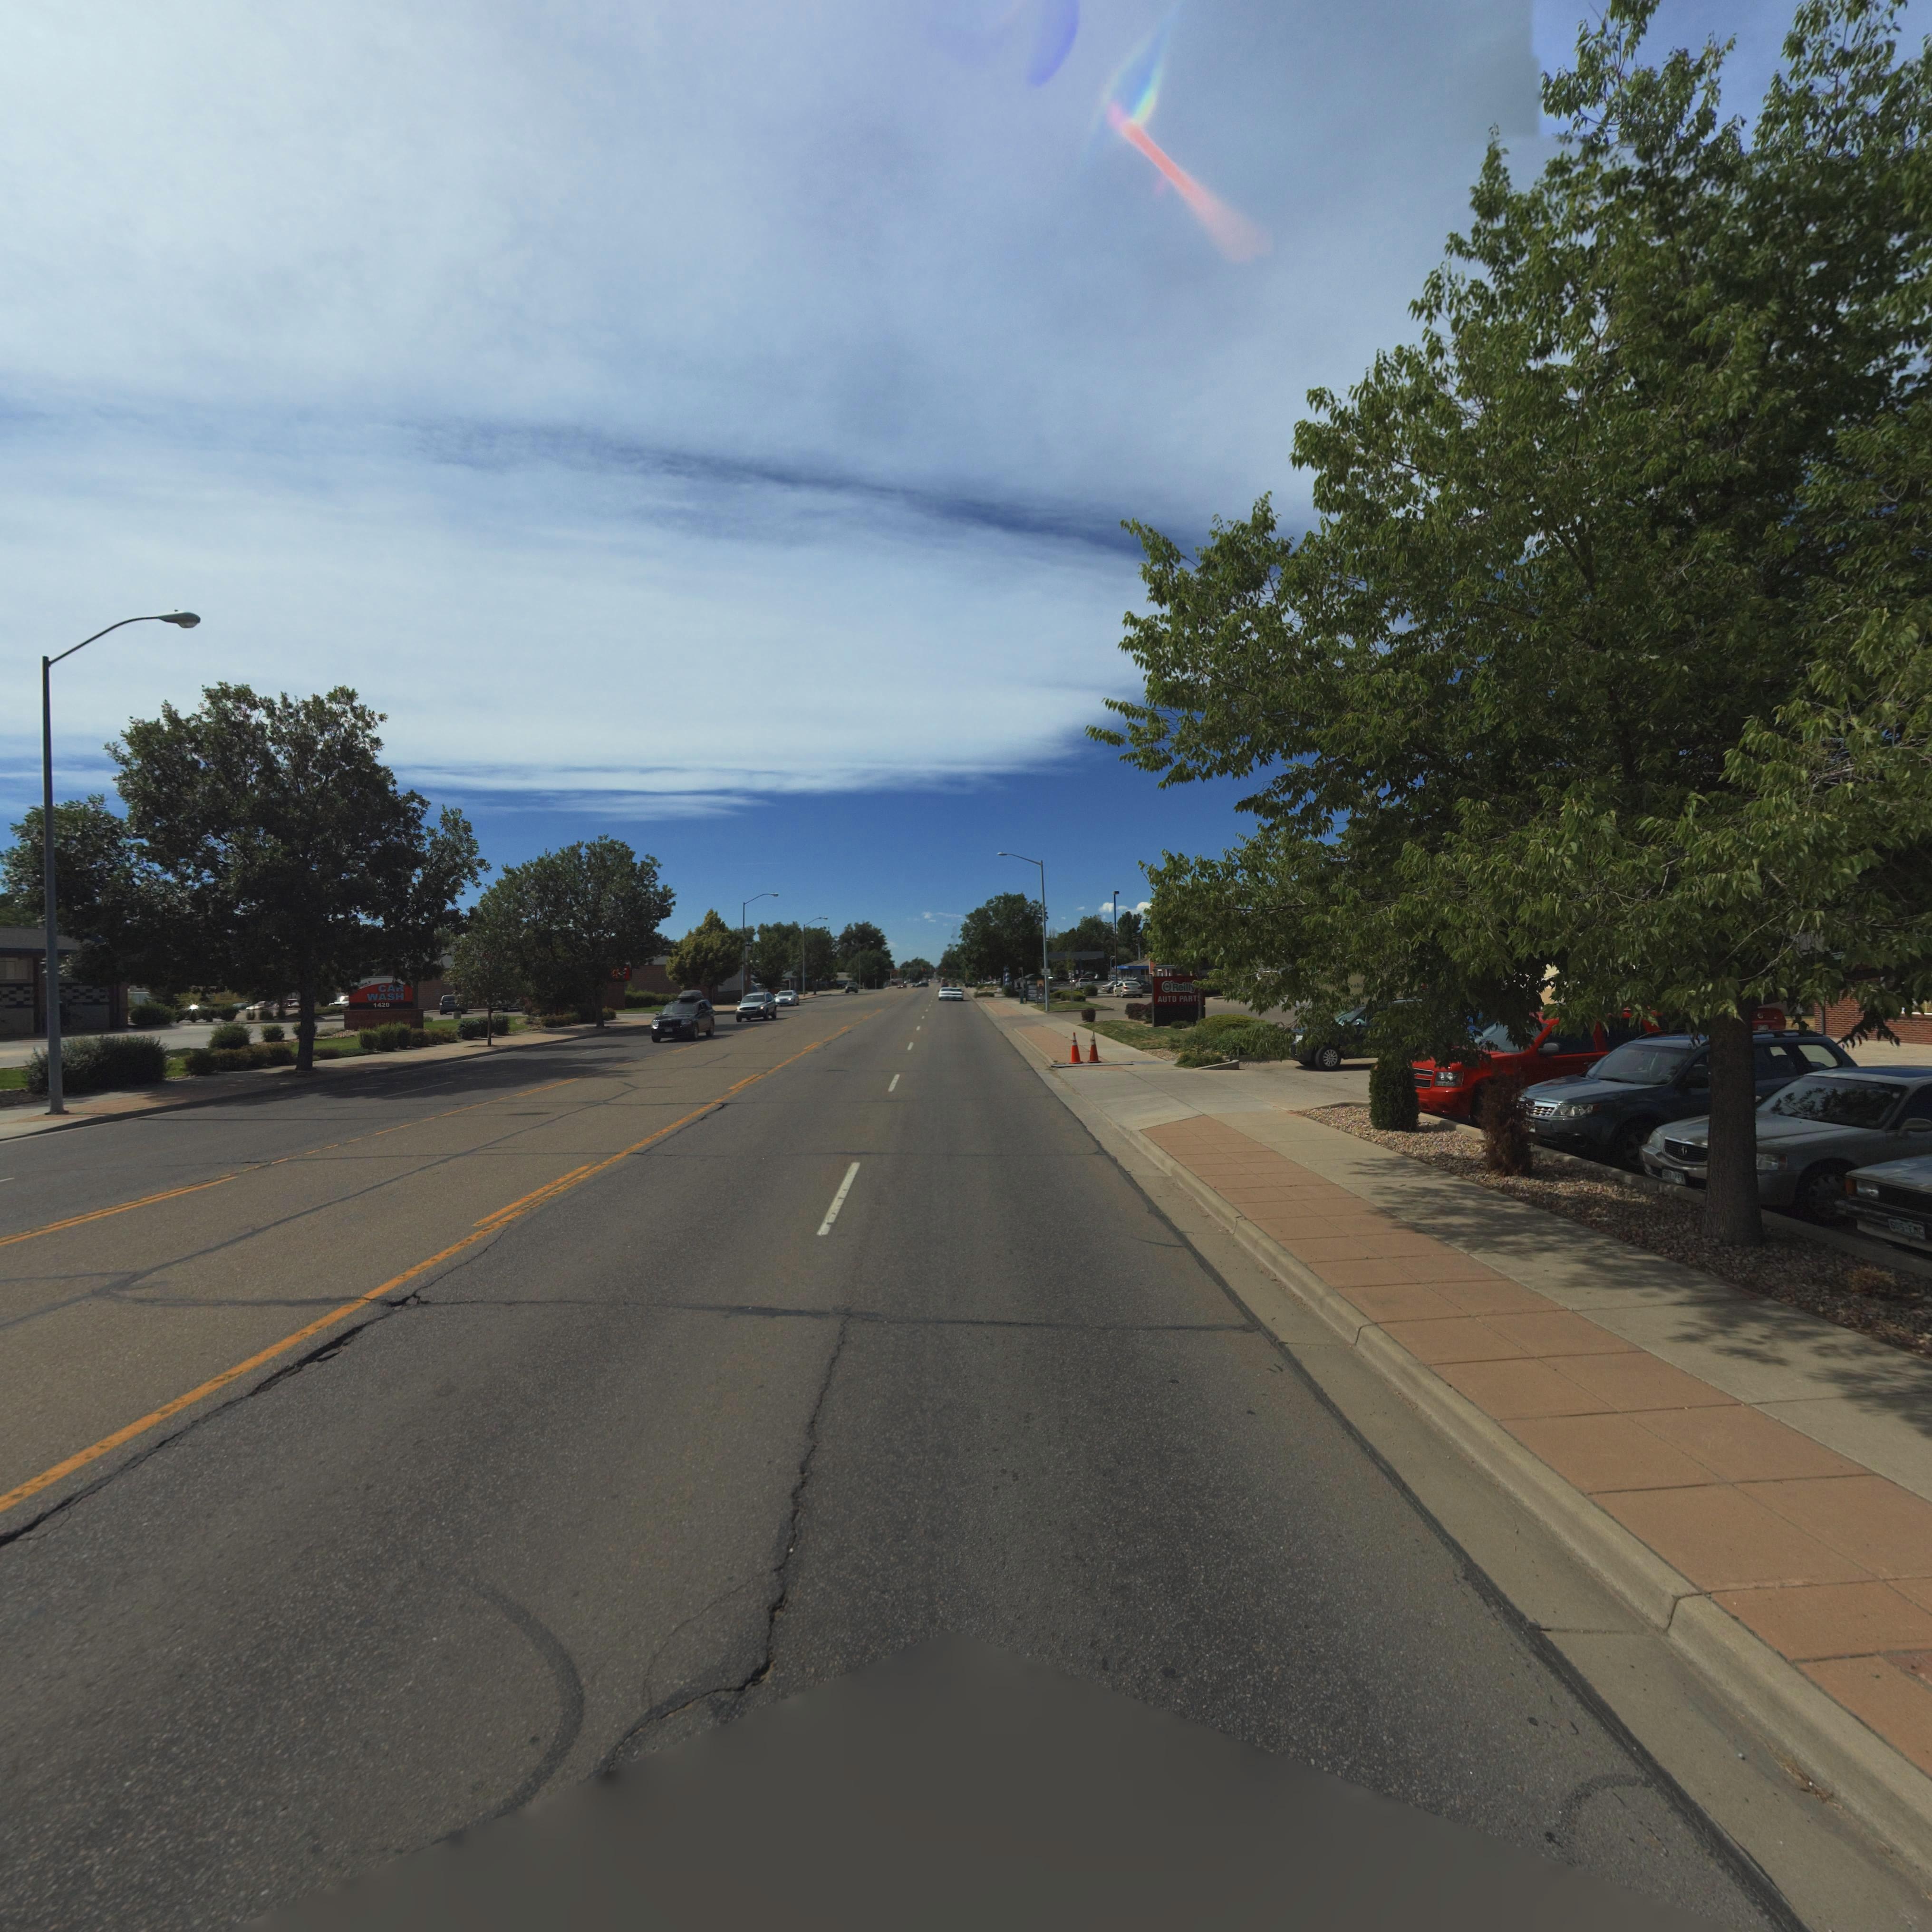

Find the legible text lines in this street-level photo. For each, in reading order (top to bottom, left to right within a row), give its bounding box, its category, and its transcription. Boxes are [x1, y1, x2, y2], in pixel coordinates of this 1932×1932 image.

[1162, 980, 1197, 993] BusinessName: O'Reilly
[372, 1002, 390, 1008] StreetNumber: 1420